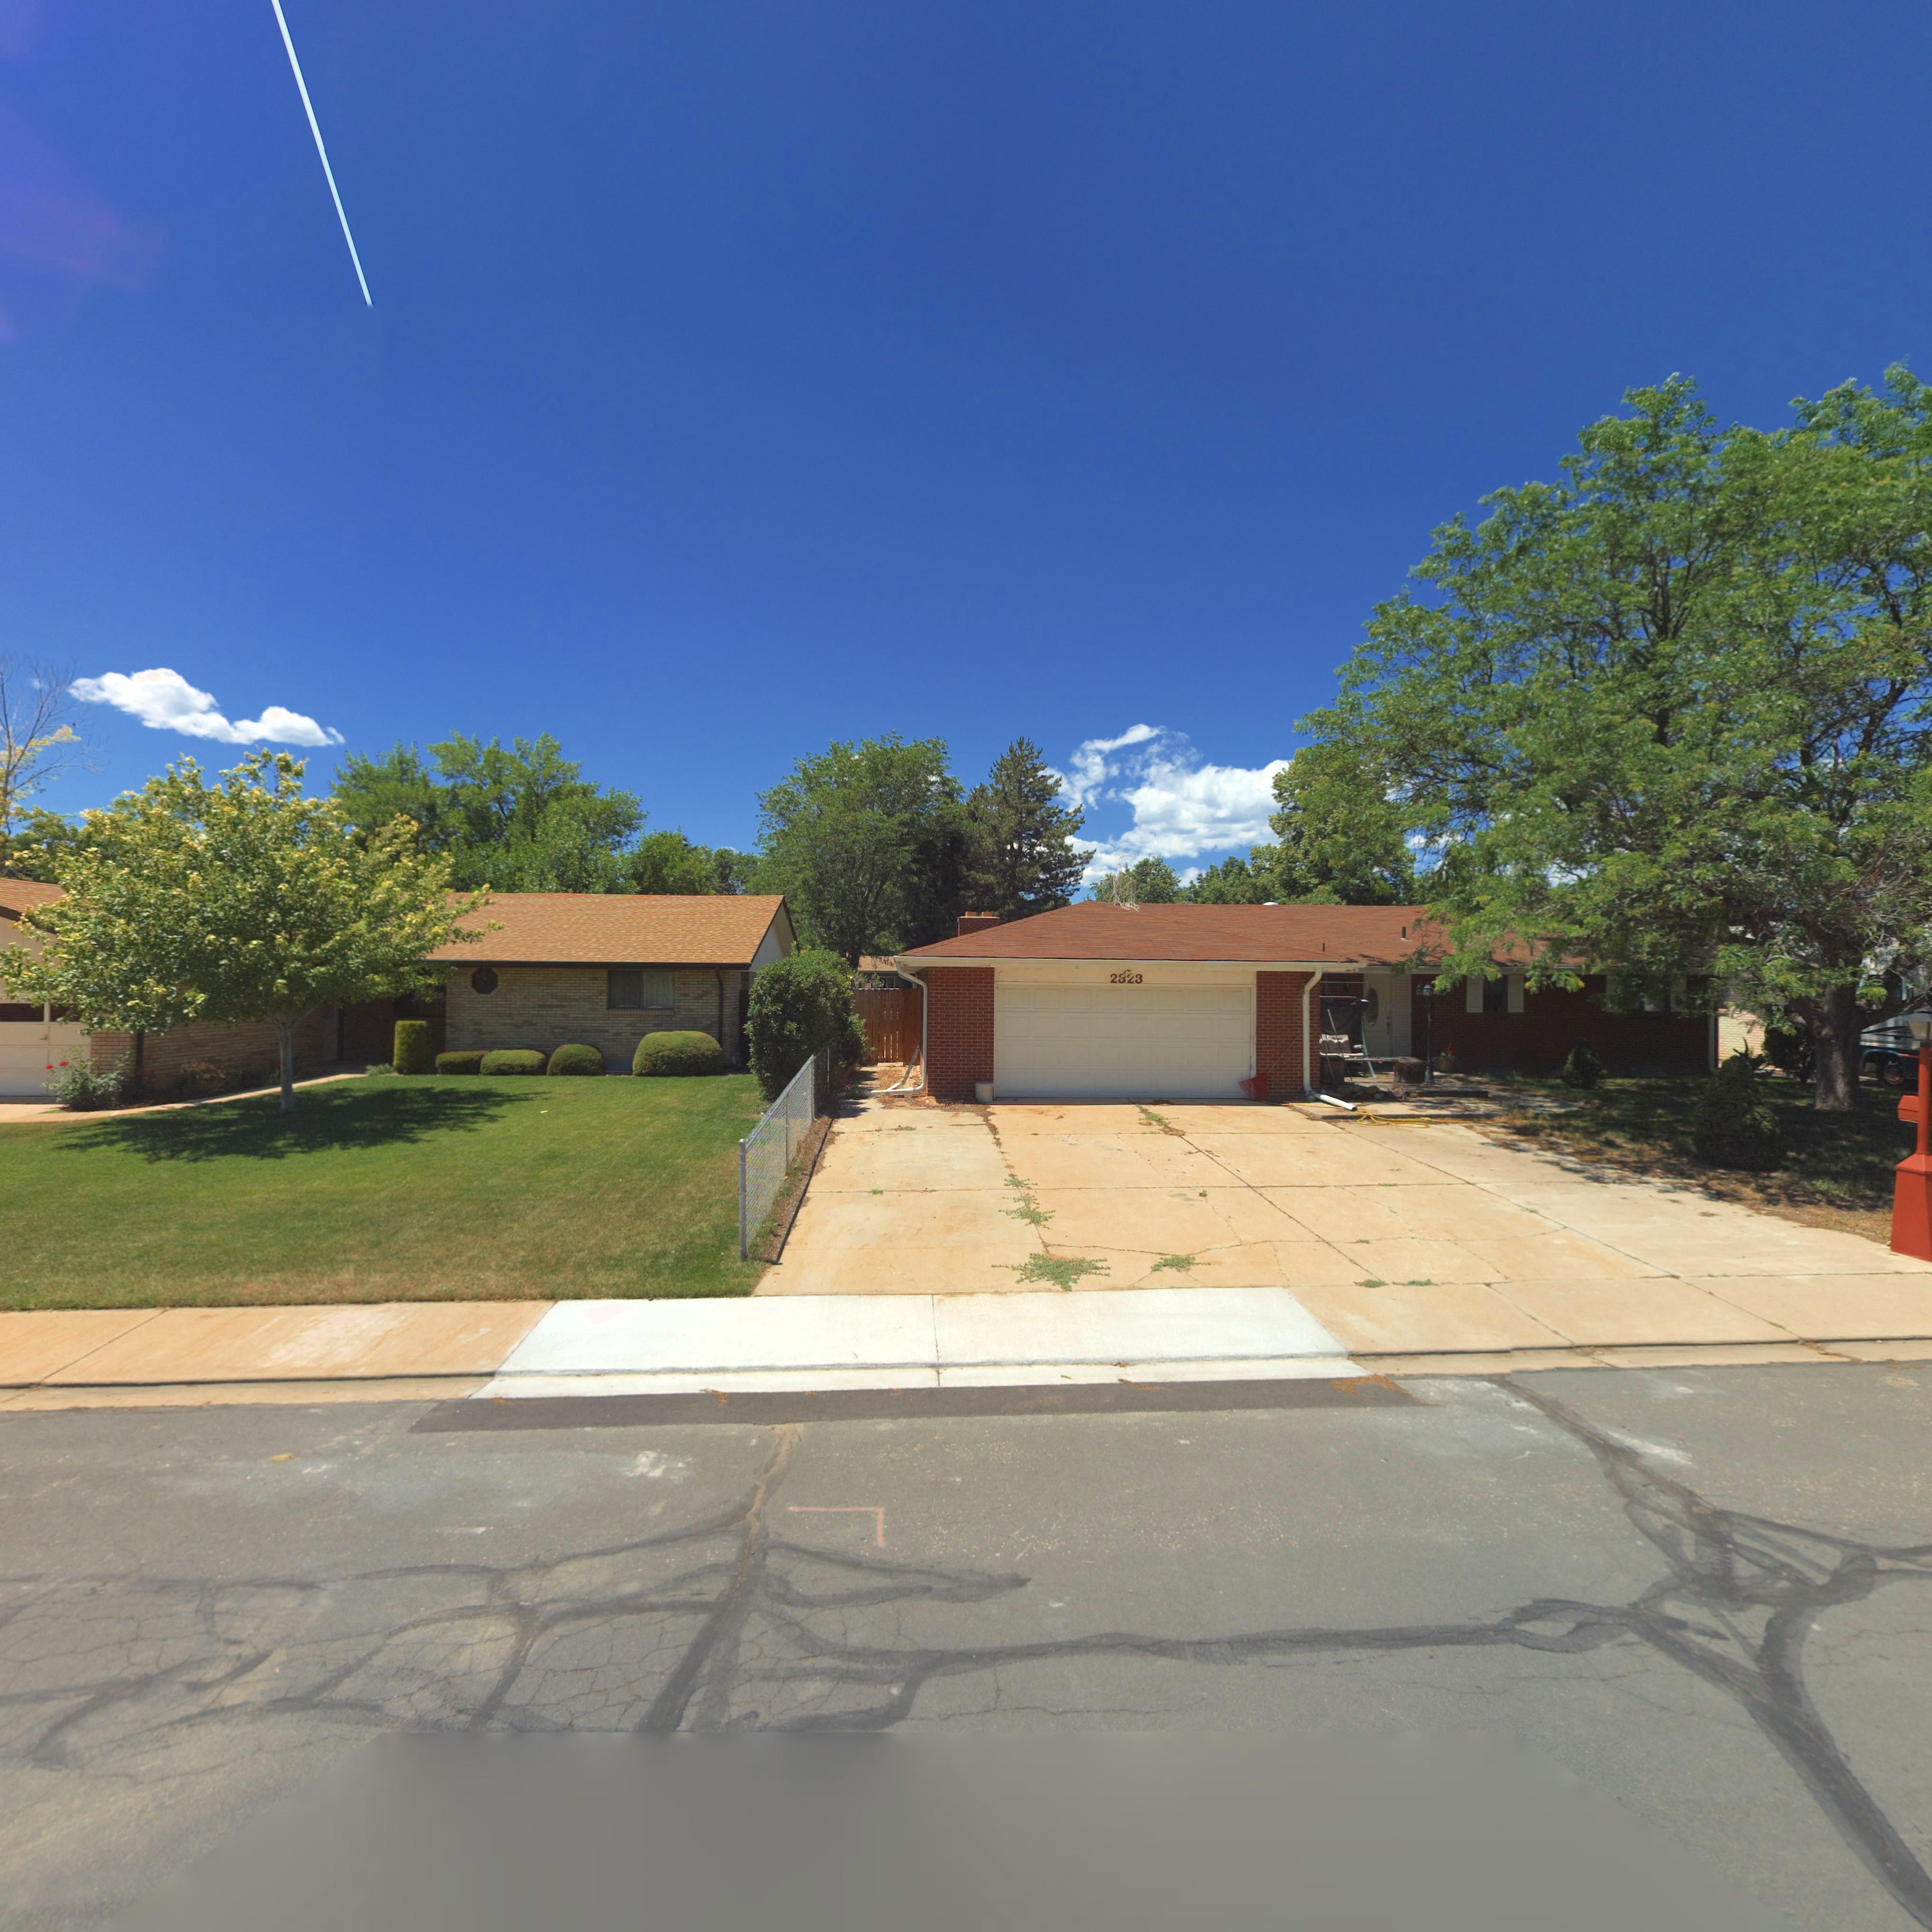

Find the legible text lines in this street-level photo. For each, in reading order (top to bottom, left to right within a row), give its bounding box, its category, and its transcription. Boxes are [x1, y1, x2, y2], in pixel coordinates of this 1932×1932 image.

[1110, 973, 1142, 984] StreetNumber: 2323